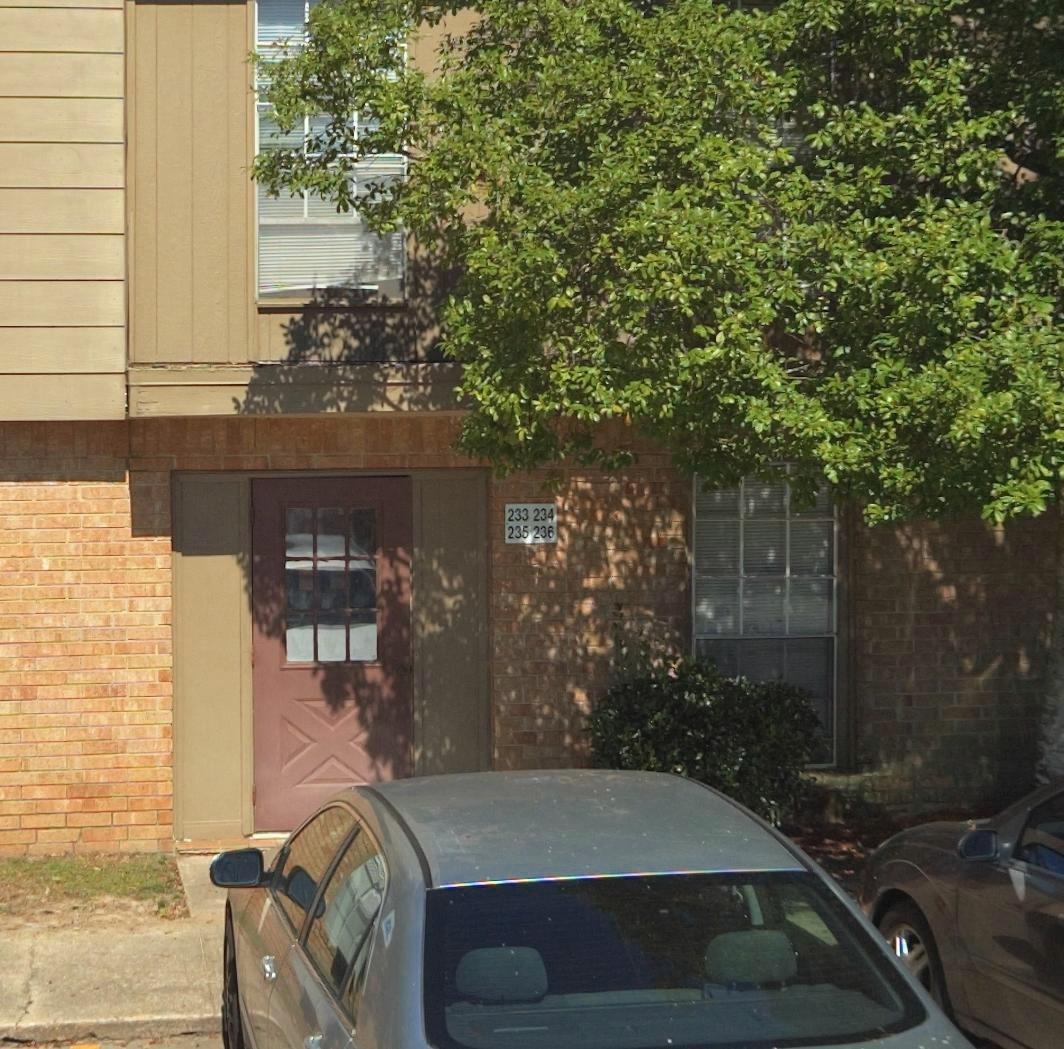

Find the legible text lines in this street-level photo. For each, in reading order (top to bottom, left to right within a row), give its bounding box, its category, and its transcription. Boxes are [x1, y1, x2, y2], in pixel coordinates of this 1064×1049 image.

[506, 506, 531, 523] StreetNumber: 233
[531, 506, 556, 523] StreetNumber: 234
[506, 524, 531, 540] StreetNumber: 235
[531, 524, 556, 540] StreetNumber: 236